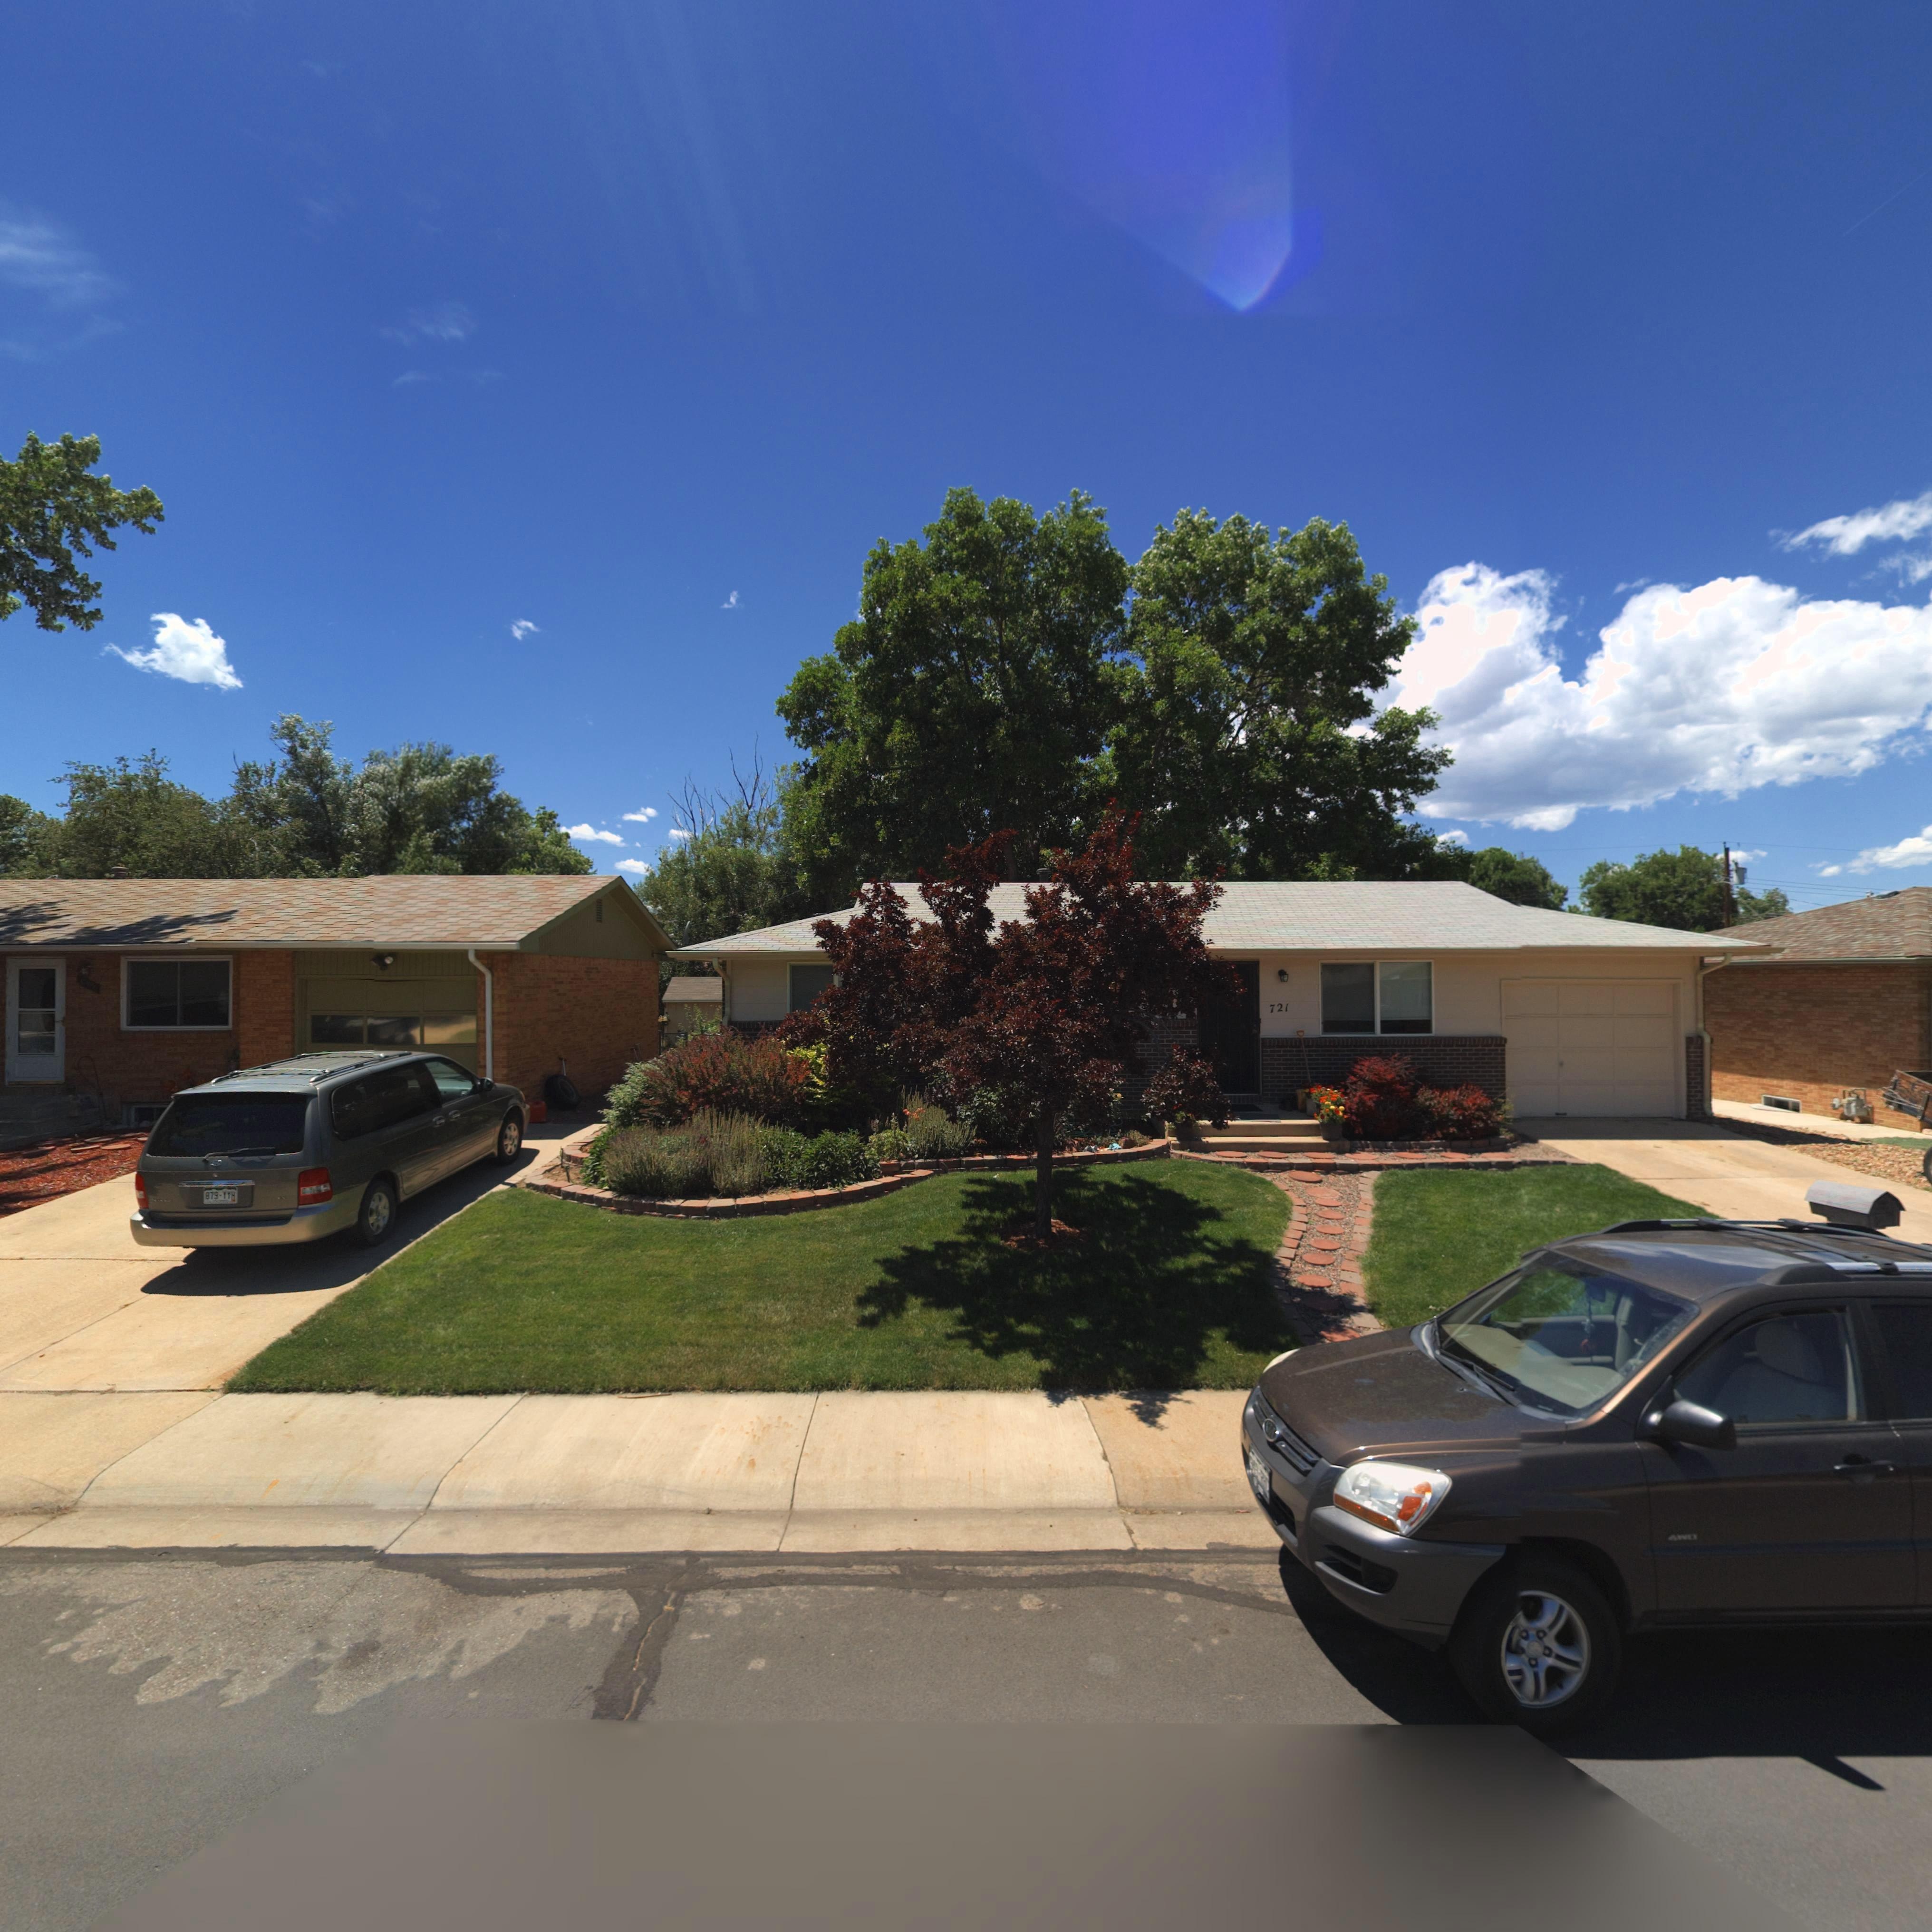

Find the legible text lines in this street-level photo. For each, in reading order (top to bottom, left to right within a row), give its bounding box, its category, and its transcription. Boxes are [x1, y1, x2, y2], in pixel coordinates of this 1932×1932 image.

[1268, 1002, 1289, 1014] StreetNumber: 721